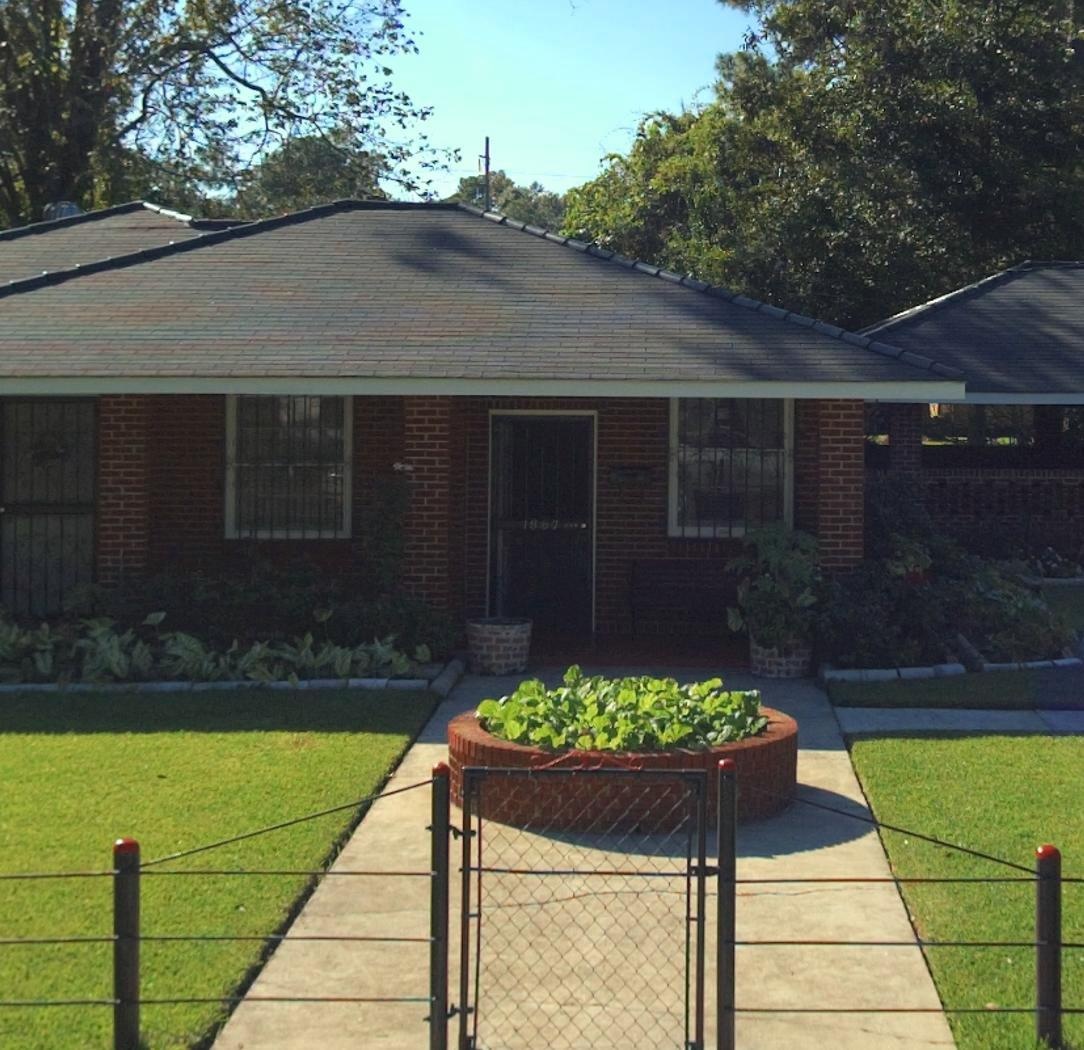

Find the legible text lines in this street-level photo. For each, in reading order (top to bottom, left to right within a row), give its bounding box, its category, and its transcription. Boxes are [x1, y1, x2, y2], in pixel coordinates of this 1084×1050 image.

[521, 518, 561, 532] StreetNumber: 1867